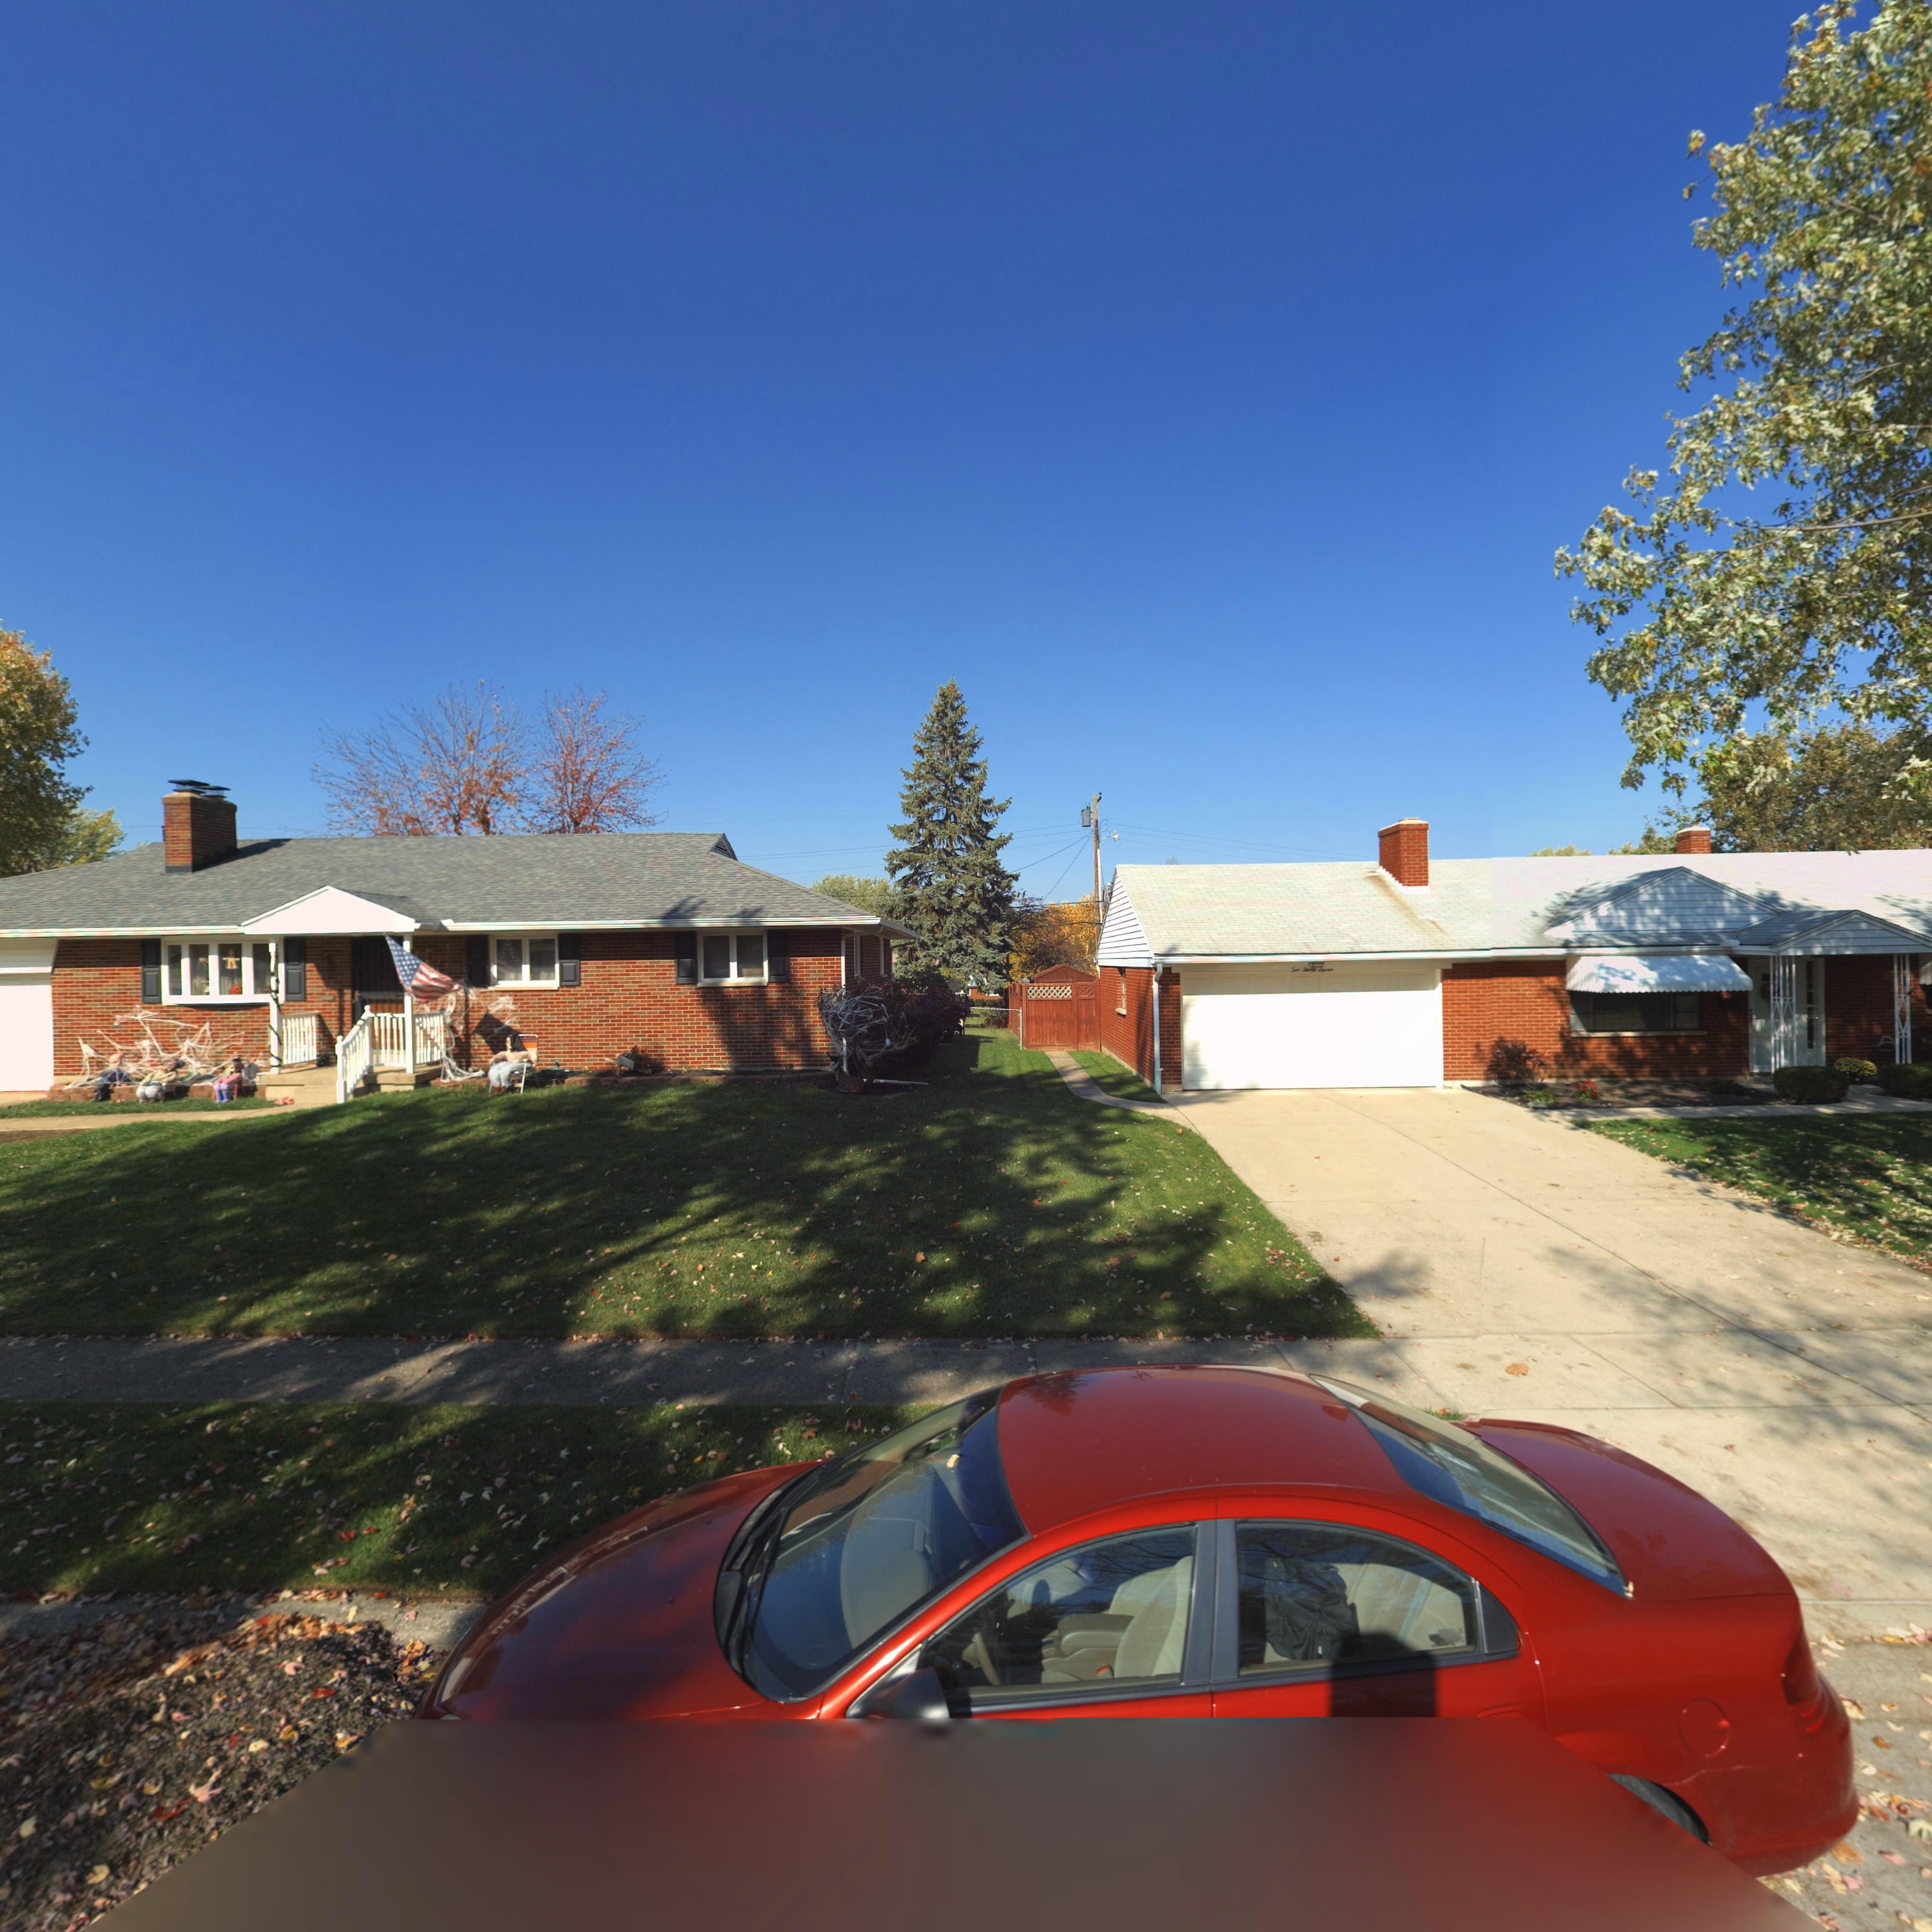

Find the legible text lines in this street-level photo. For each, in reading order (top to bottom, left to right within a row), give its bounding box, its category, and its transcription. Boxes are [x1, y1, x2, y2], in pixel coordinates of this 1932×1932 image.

[1290, 966, 1333, 973] StreetNumber: T*n T***ty Seve*